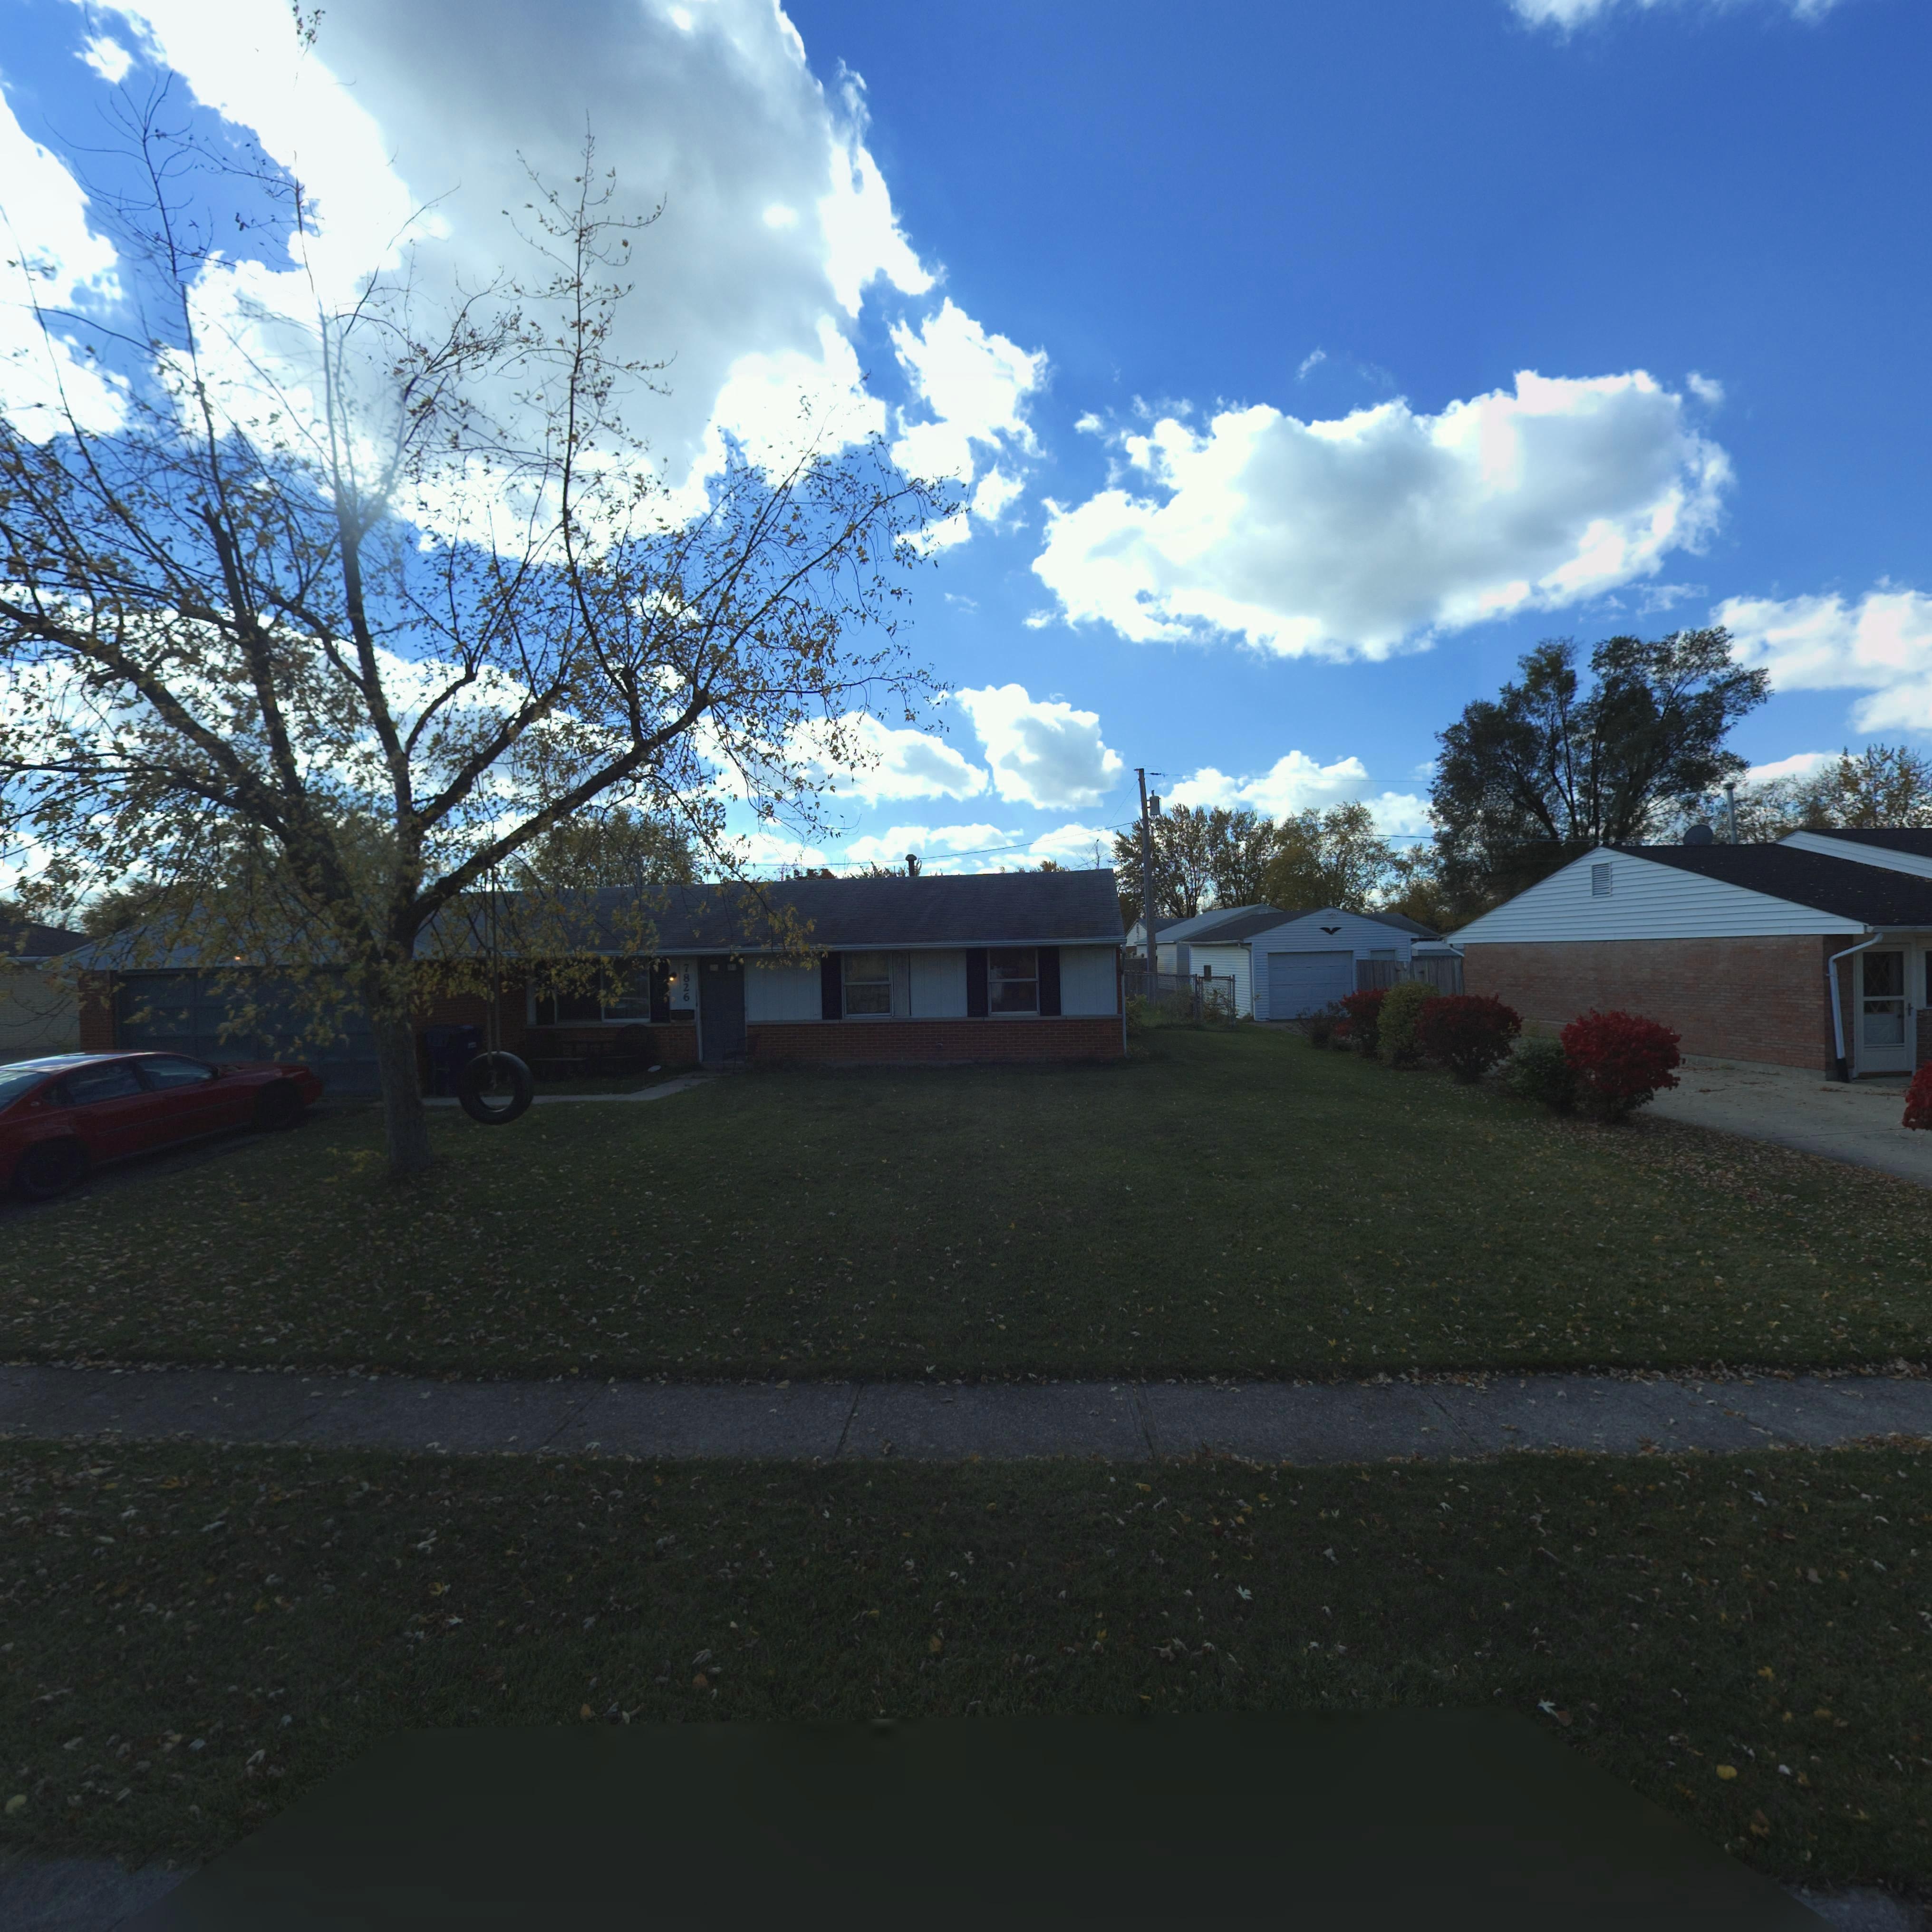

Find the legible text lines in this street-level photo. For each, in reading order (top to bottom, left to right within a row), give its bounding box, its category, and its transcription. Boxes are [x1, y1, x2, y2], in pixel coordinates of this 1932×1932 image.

[683, 963, 690, 1002] StreetNumber: 7826